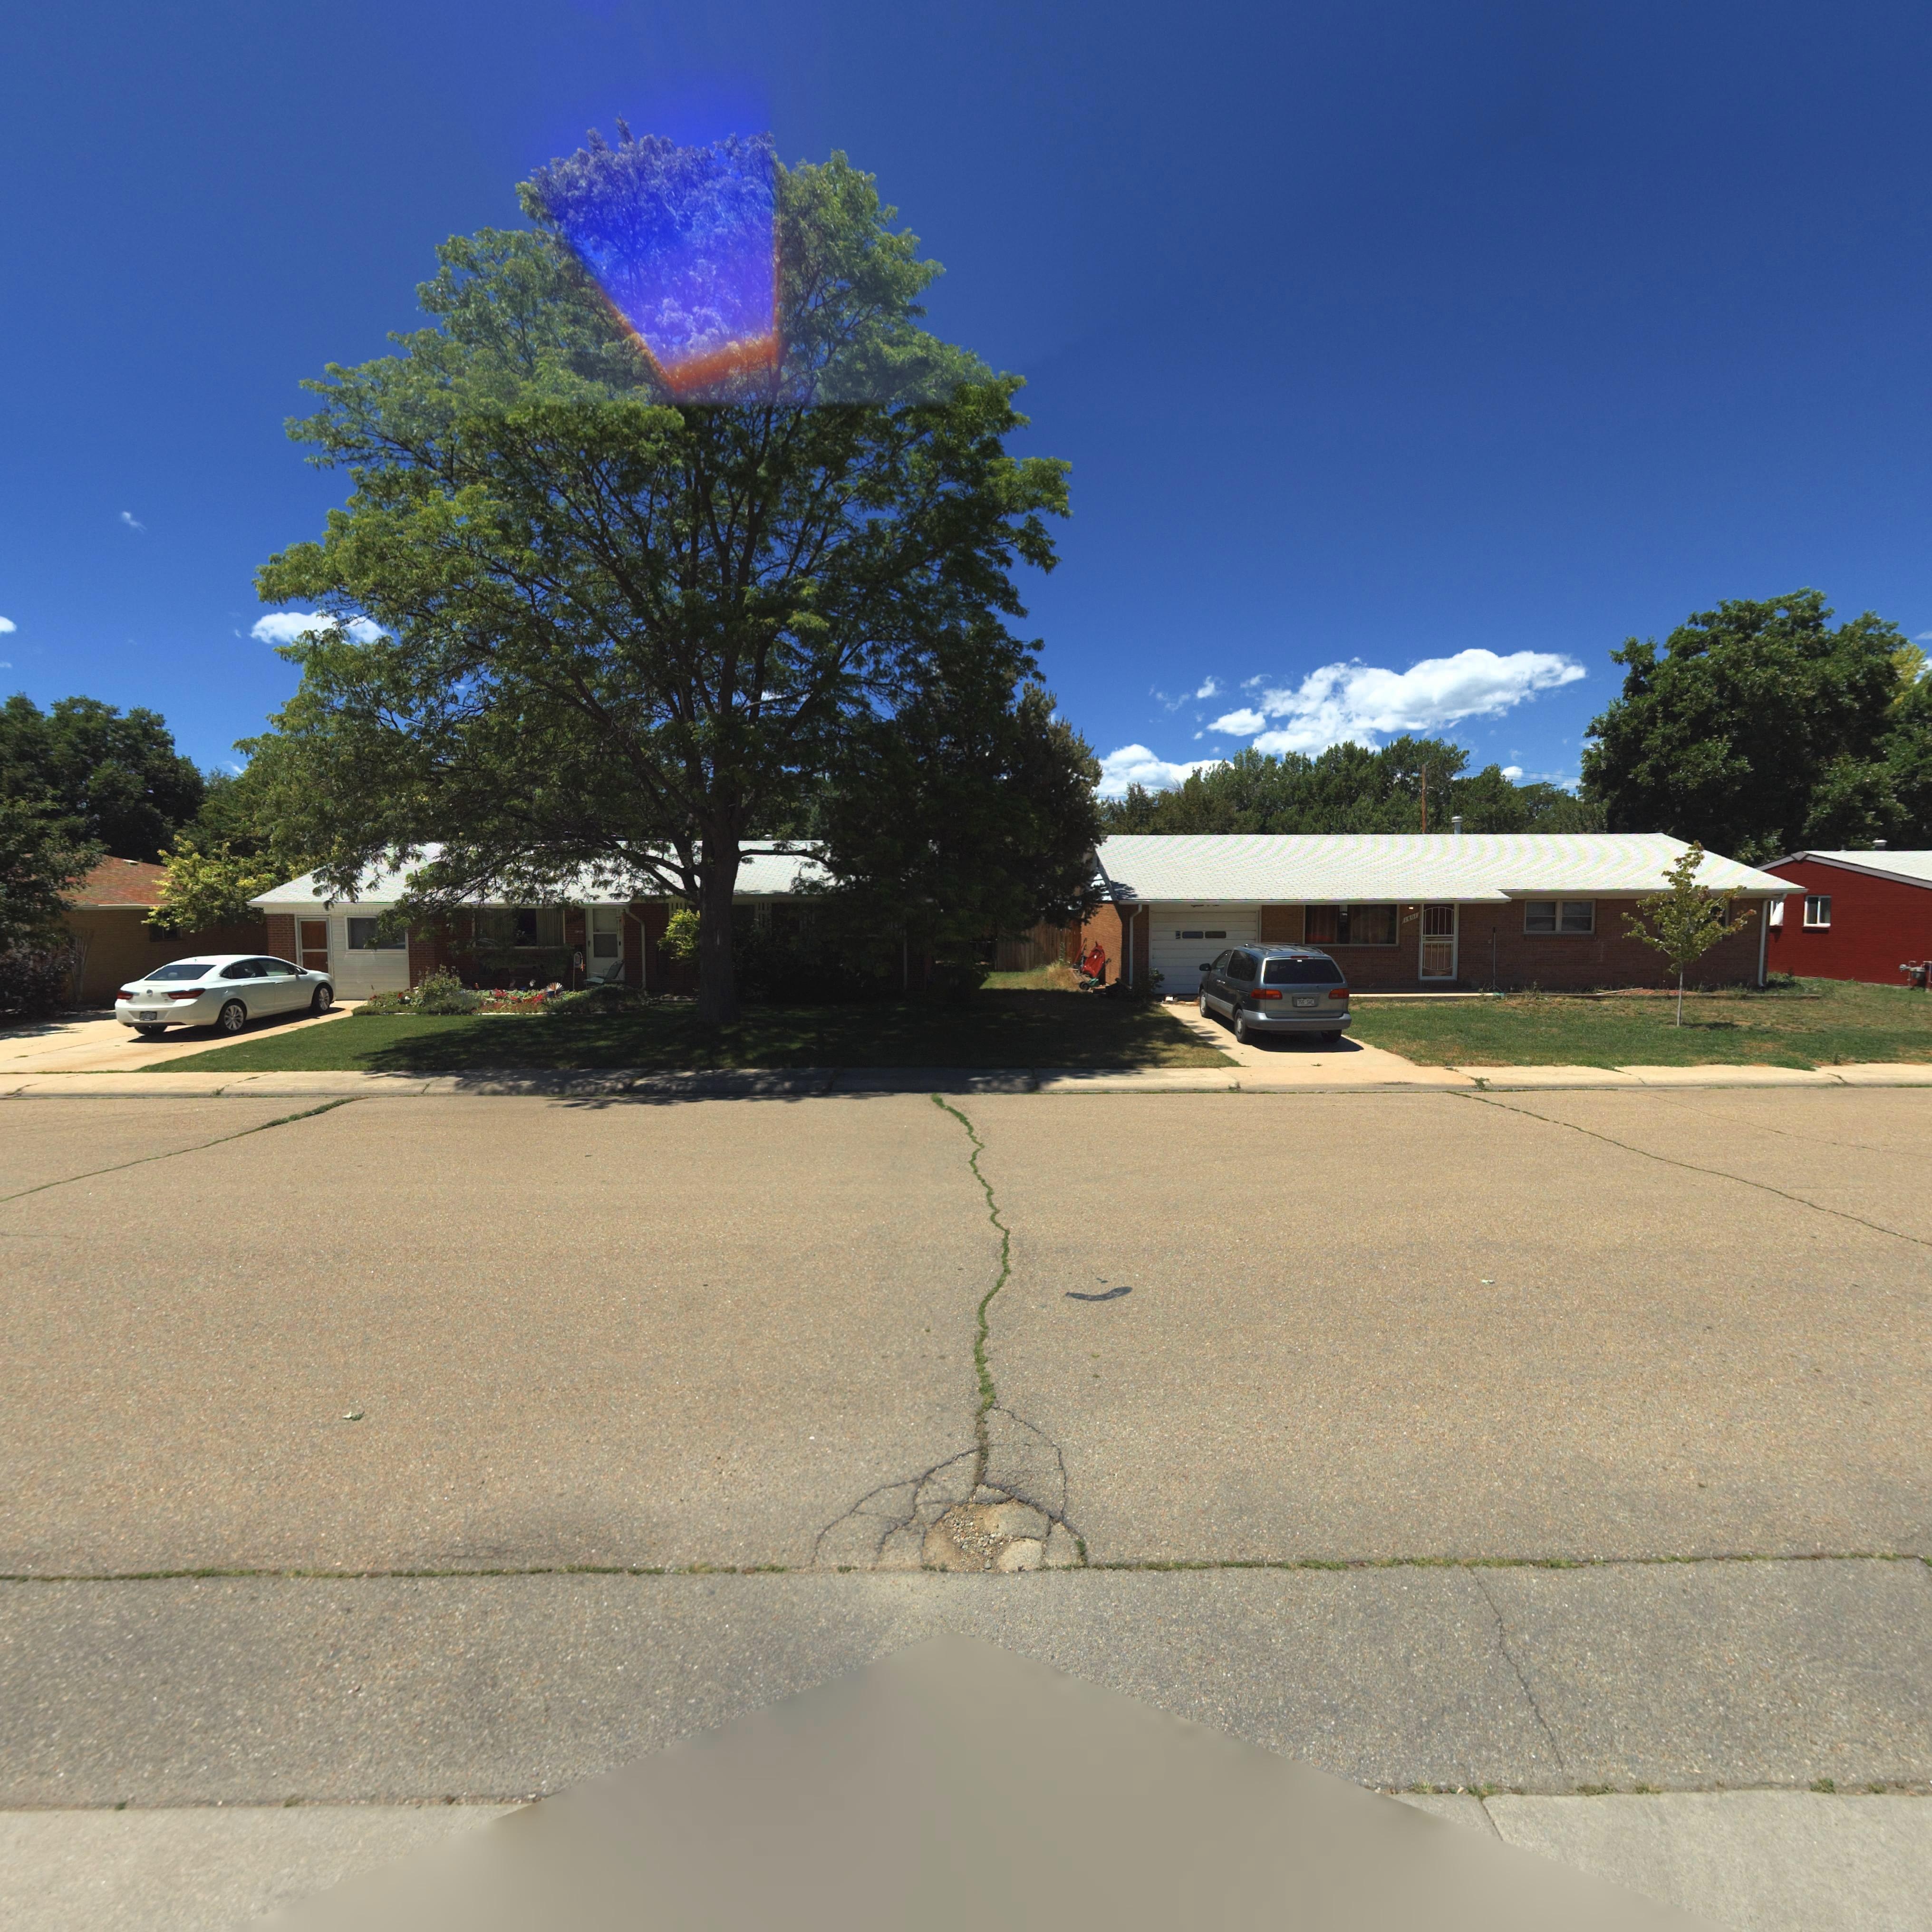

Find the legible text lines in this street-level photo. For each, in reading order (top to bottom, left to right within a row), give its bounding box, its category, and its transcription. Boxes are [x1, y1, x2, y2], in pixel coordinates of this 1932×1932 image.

[567, 911, 582, 925] StreetNumber: 1*0*
[1404, 913, 1417, 922] StreetNumber: 1*01